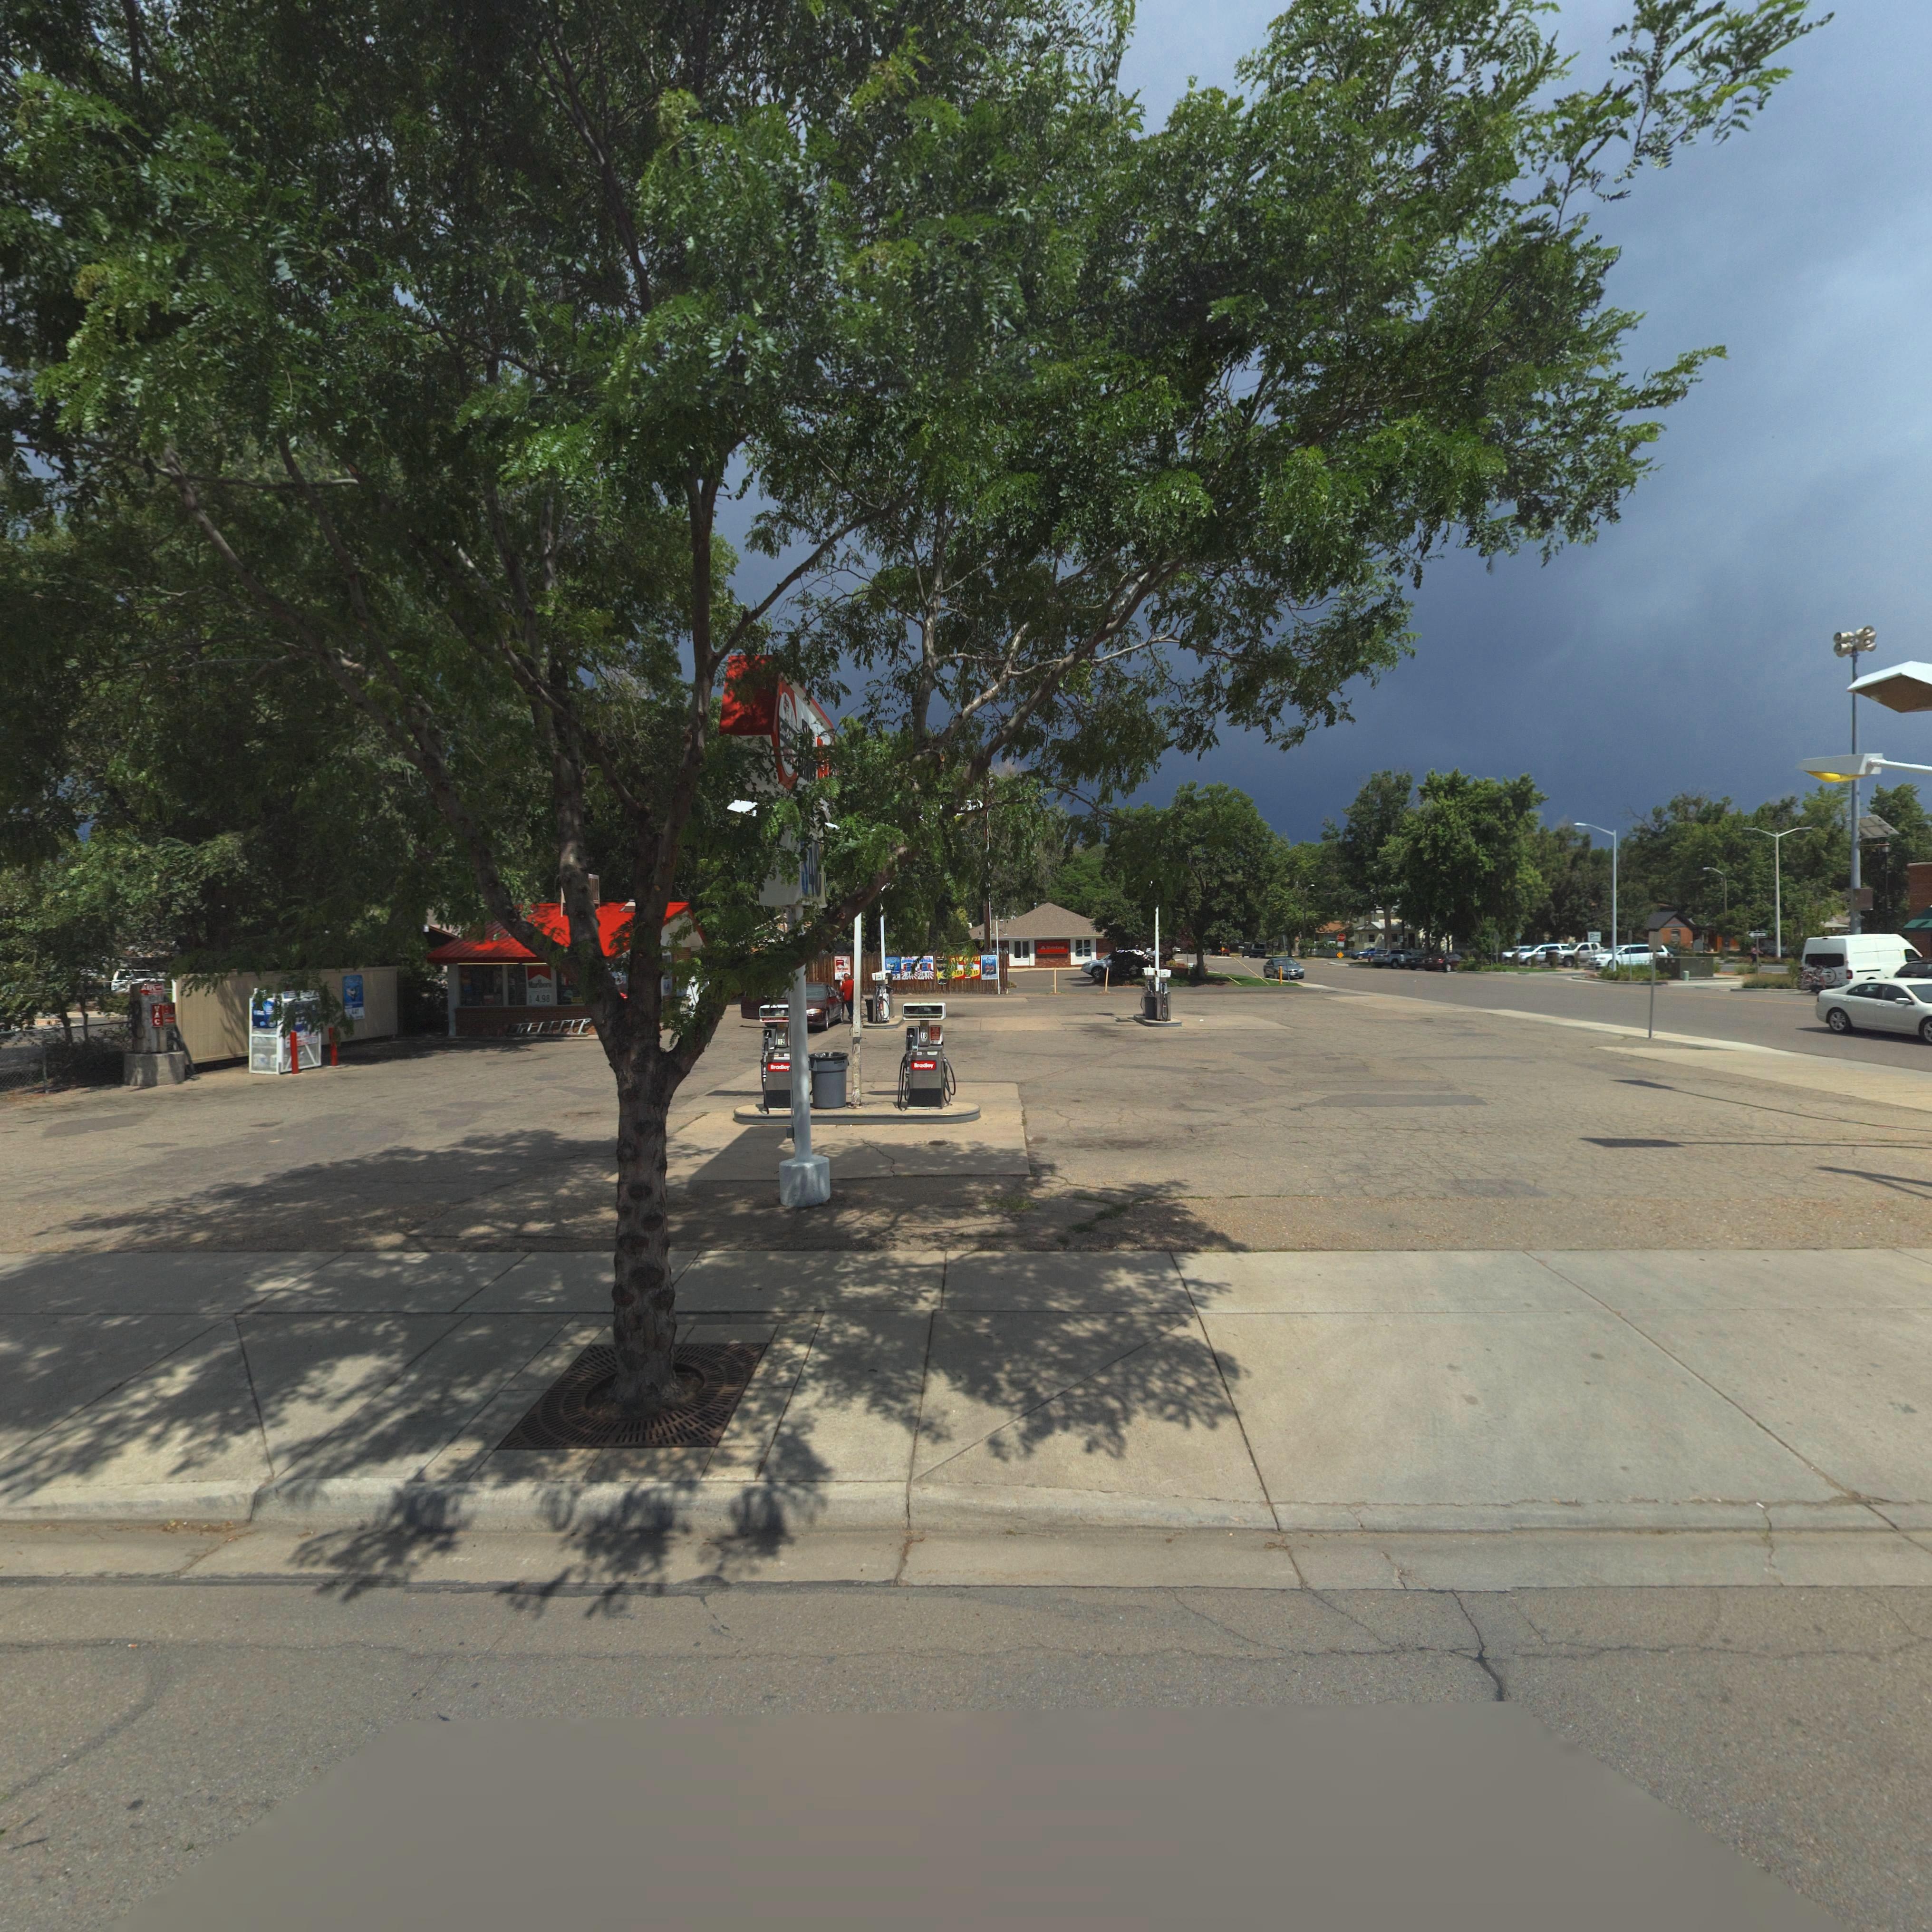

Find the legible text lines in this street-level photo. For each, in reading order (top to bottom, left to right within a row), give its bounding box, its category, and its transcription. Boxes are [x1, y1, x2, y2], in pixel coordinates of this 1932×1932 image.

[779, 720, 798, 746] BusinessName: S**-O-M**
[1045, 945, 1064, 950] BusinessName: S**** F***